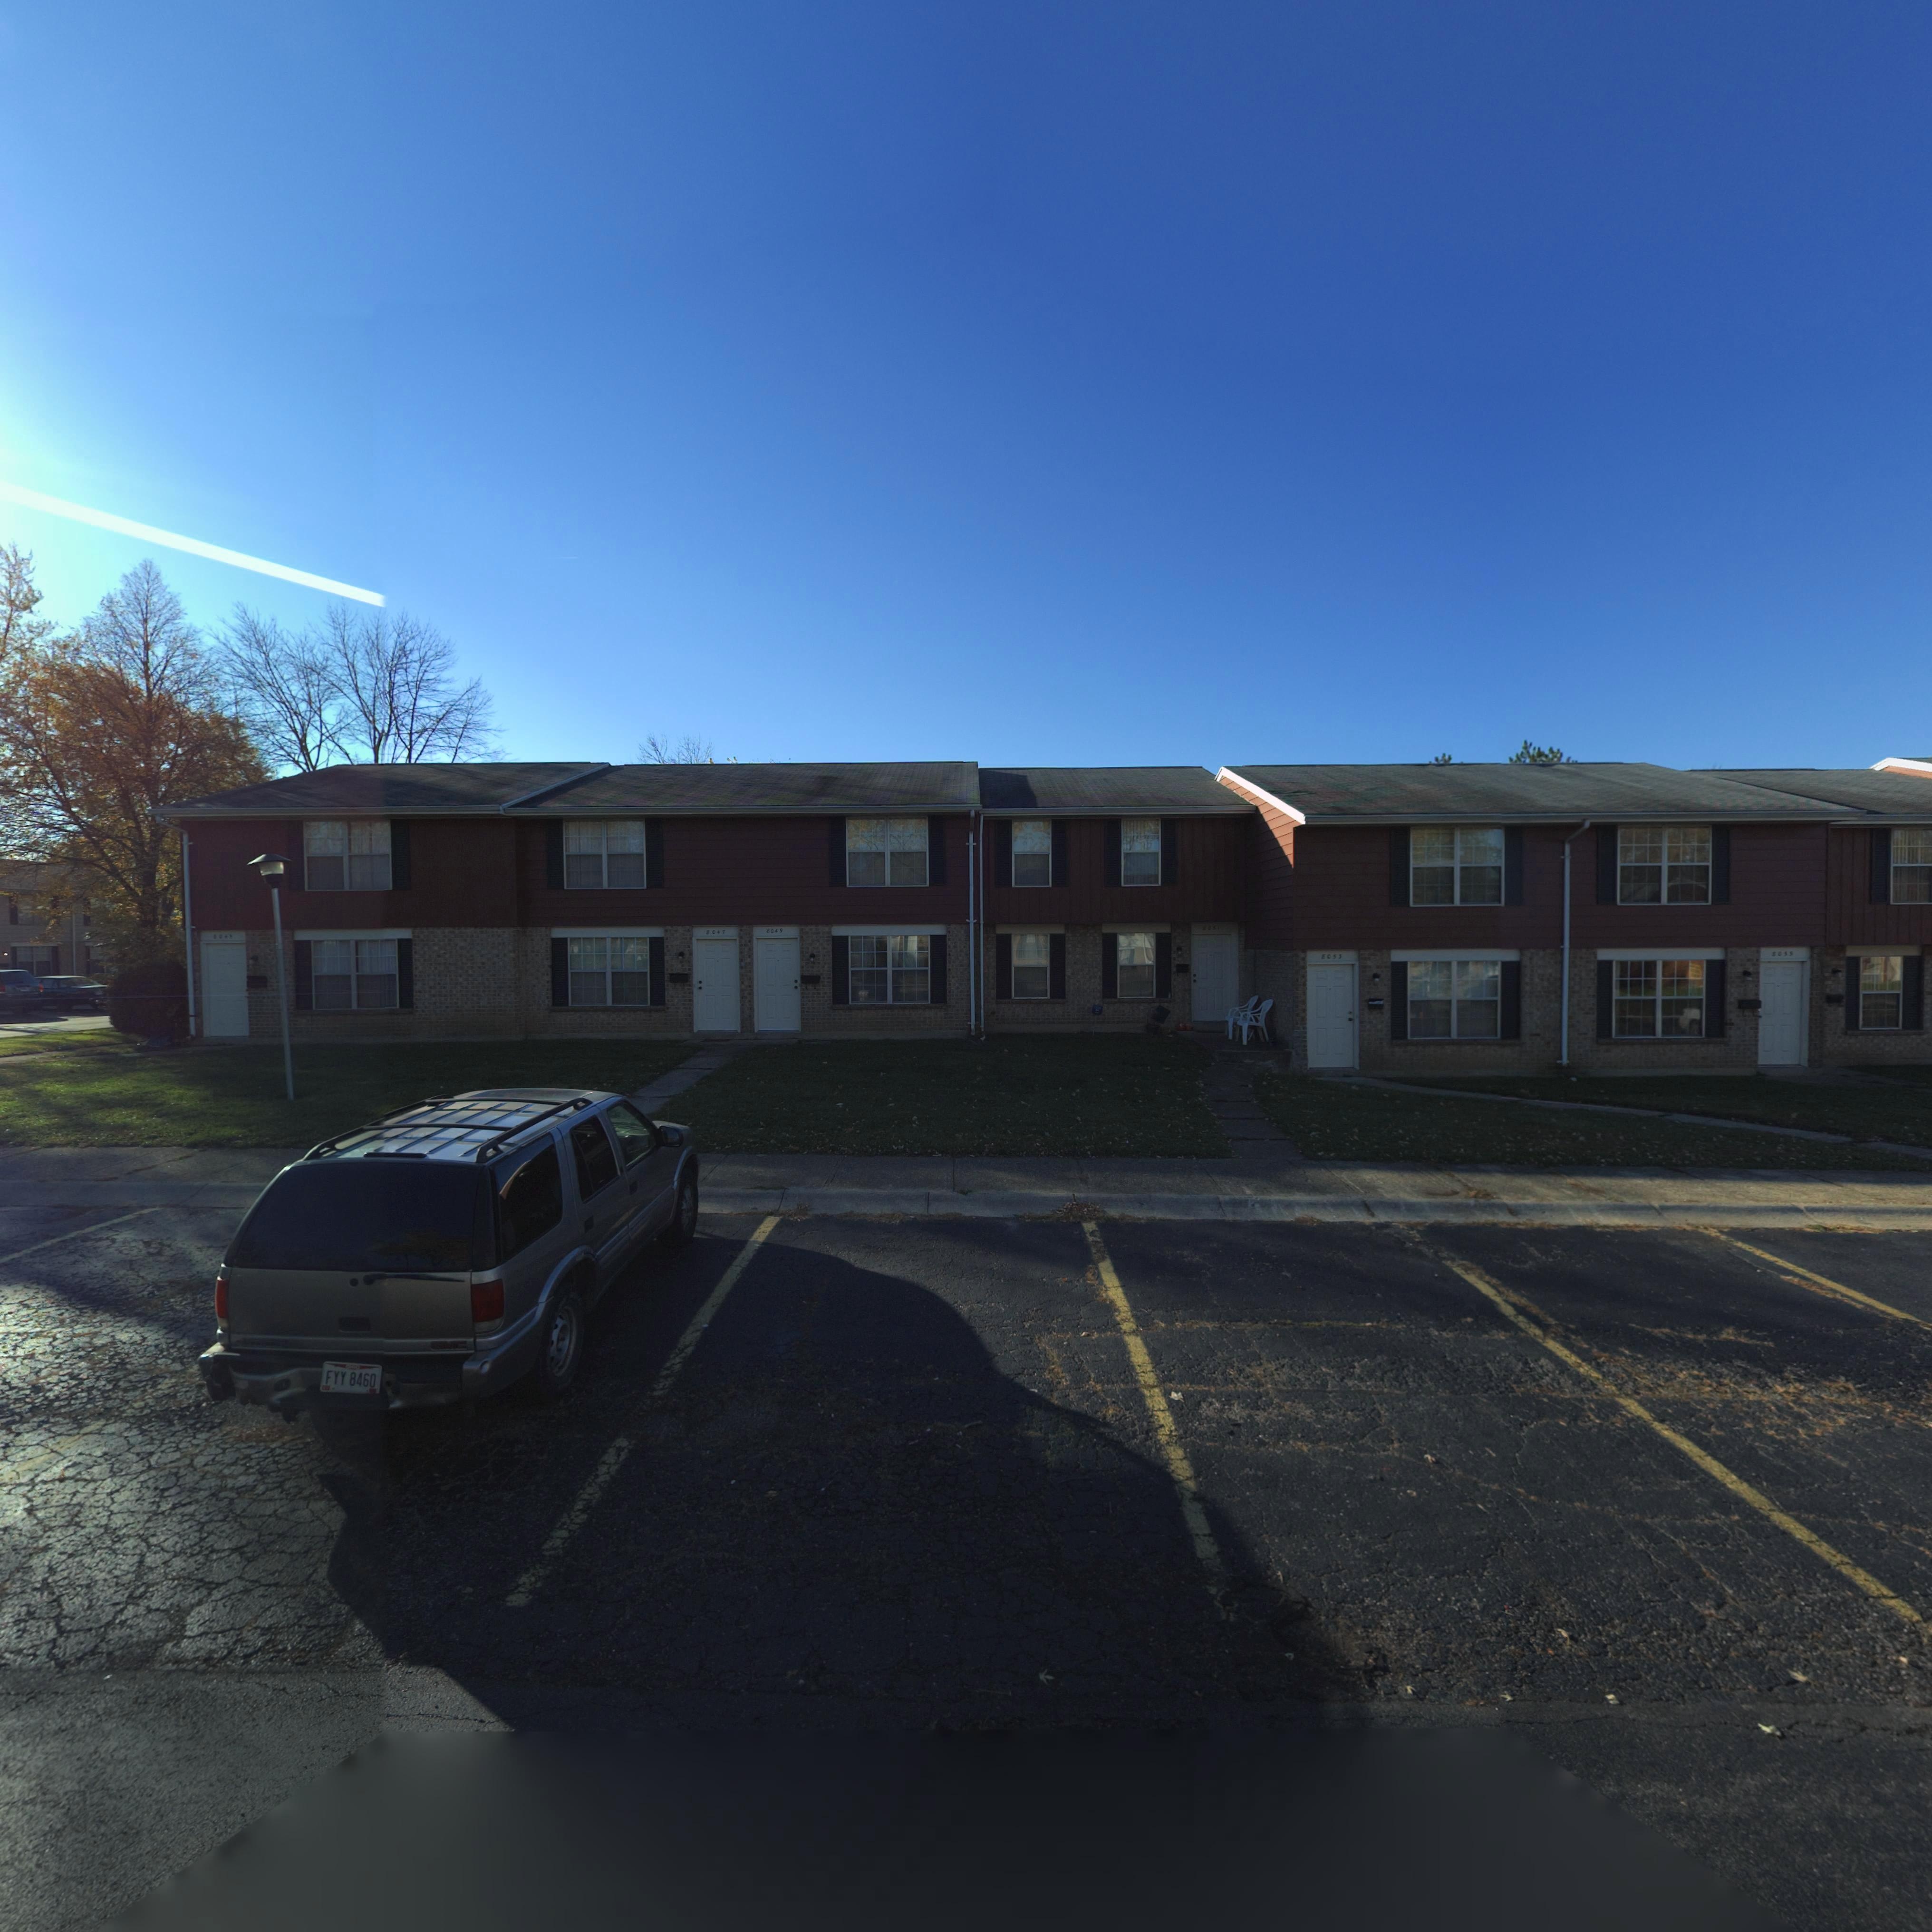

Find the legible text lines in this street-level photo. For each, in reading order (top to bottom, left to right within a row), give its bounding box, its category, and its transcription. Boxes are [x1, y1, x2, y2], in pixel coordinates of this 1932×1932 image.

[705, 928, 726, 936] StreetNumber: 8047
[765, 927, 784, 935] StreetNumber: 8049
[1201, 925, 1221, 931] StreetNumber: *0**
[212, 933, 233, 941] StreetNumber: *0**
[1320, 952, 1343, 961] StreetNumber: 8053
[1770, 949, 1795, 959] StreetNumber: *0**
[323, 1368, 377, 1390] None: FYY 8460